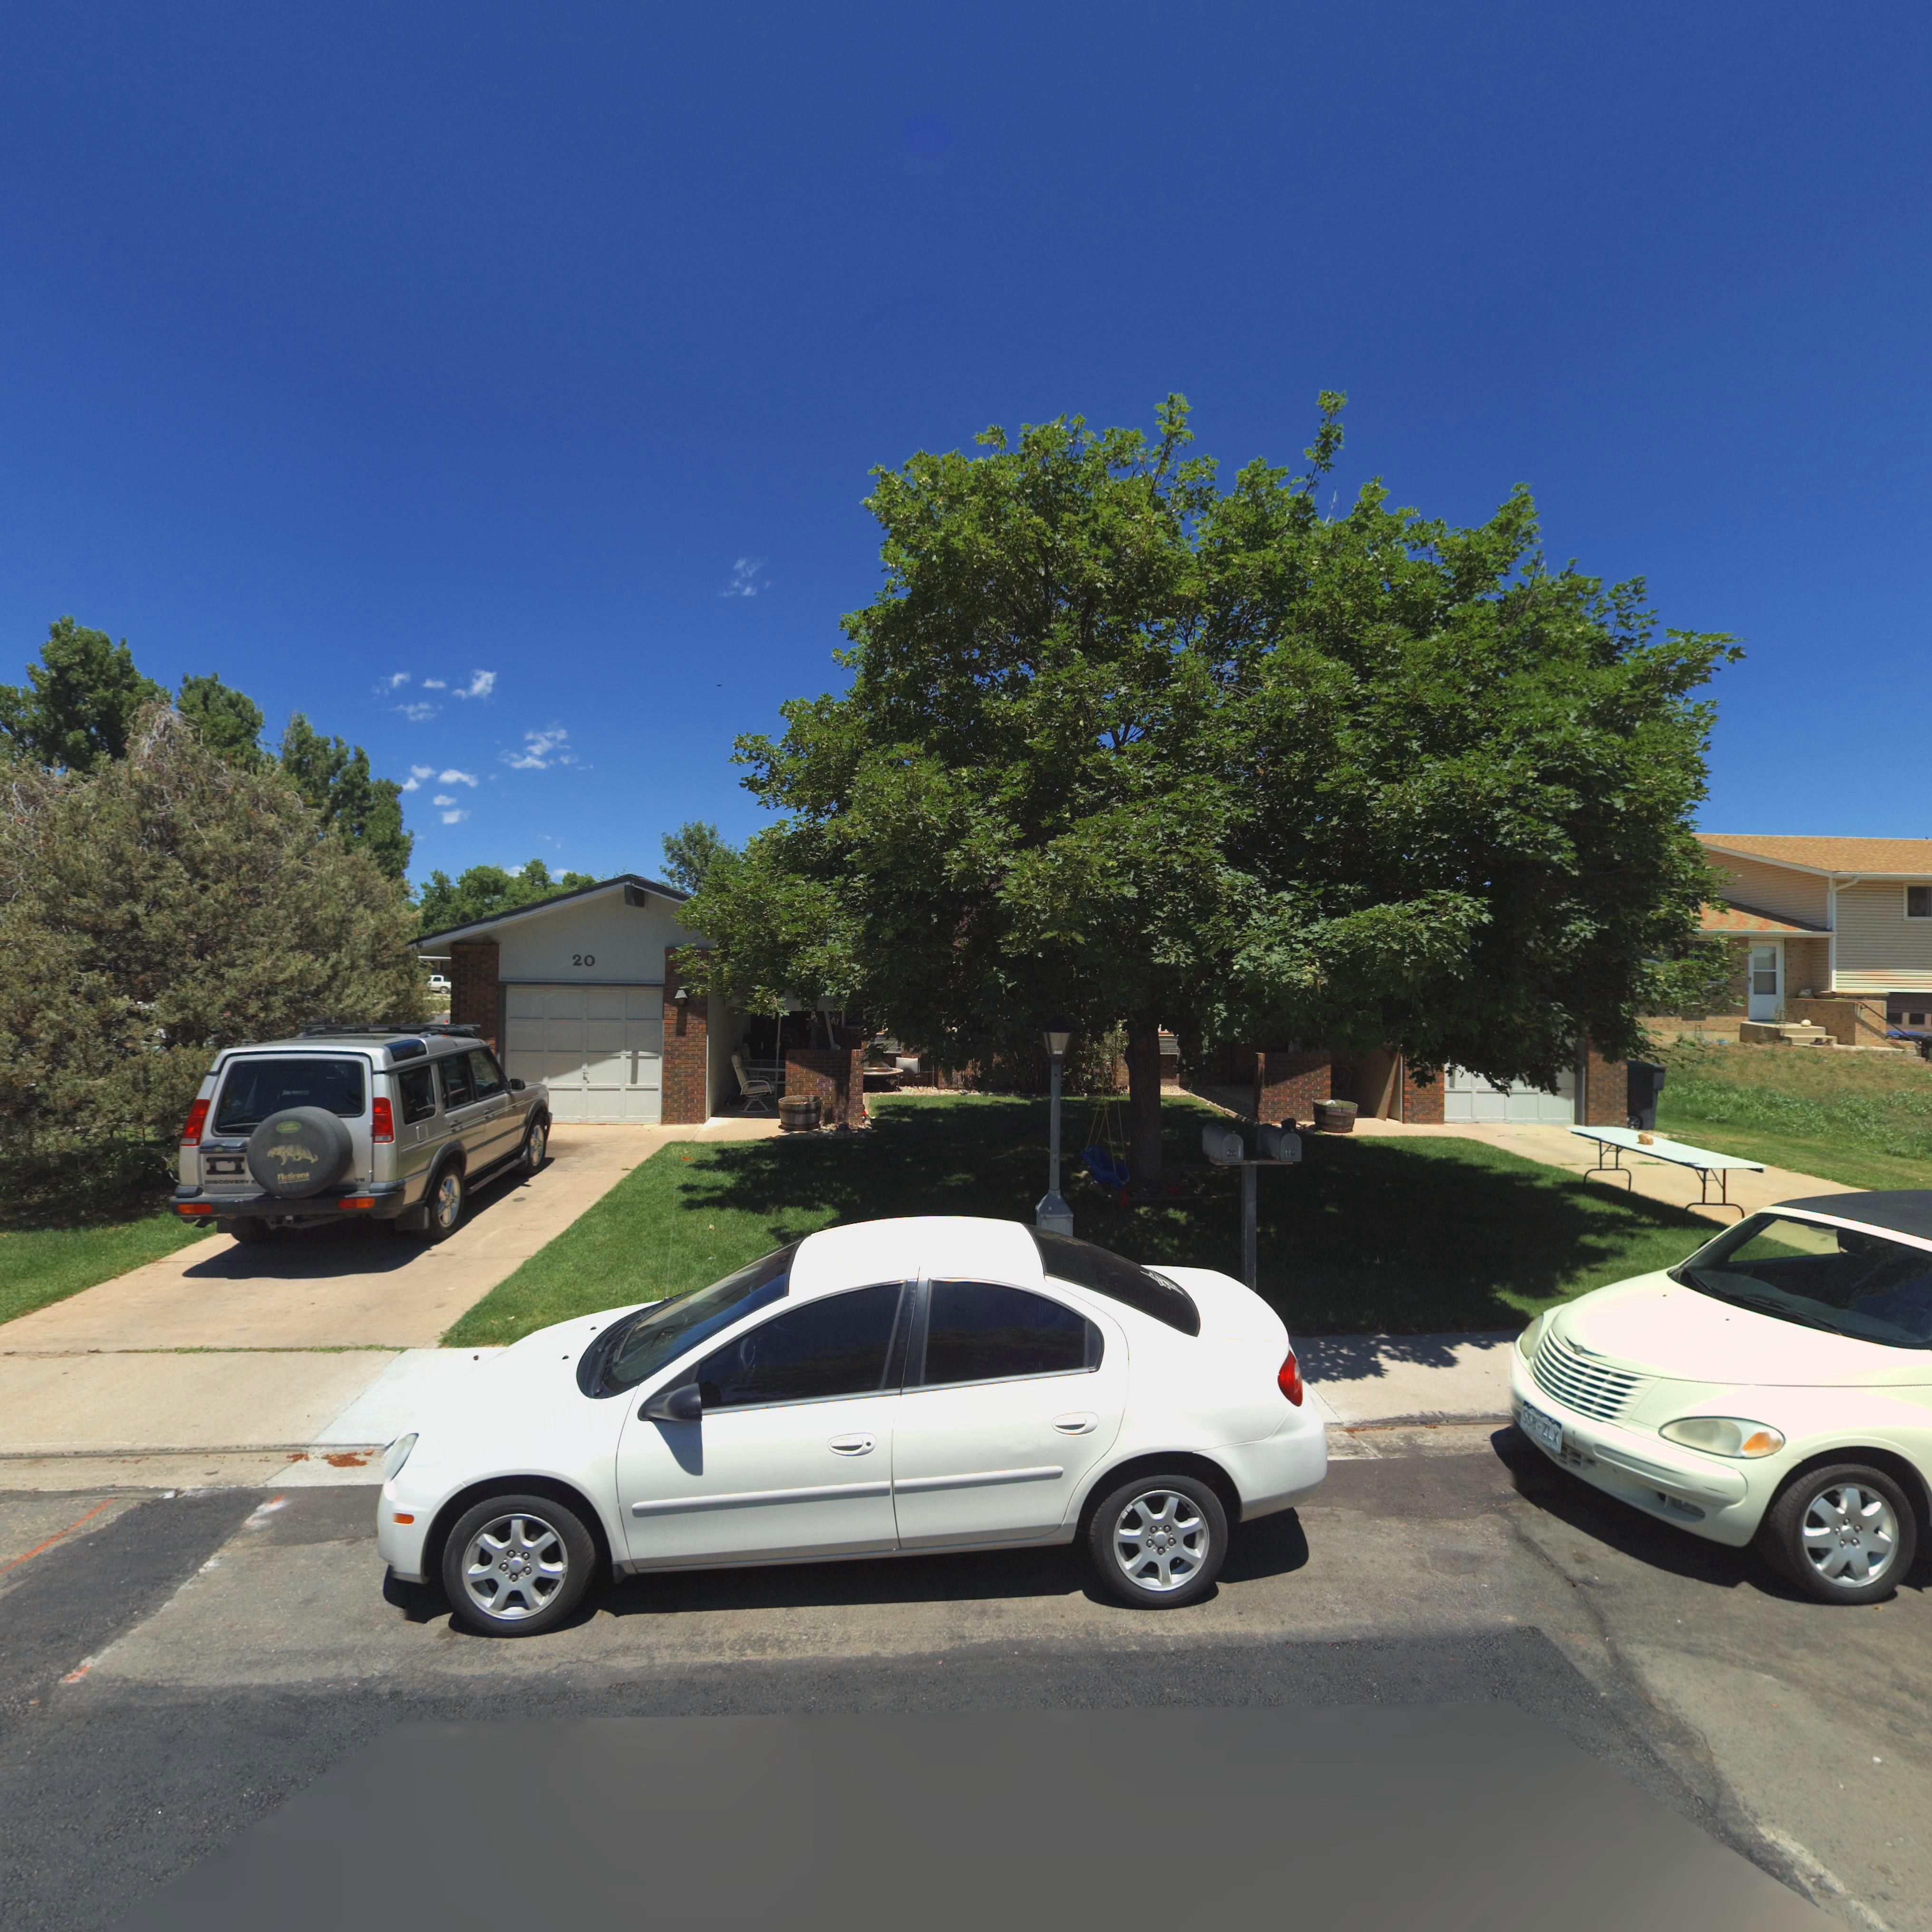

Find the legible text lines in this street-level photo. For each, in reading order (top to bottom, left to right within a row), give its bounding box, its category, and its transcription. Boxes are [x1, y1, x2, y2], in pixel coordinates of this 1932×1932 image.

[1748, 946, 1752, 954] StreetNumber: *4
[571, 954, 595, 966] StreetNumber: 20
[1227, 1149, 1236, 1157] StreetNumber: 20
[1285, 1148, 1295, 1156] StreetNumber: 18